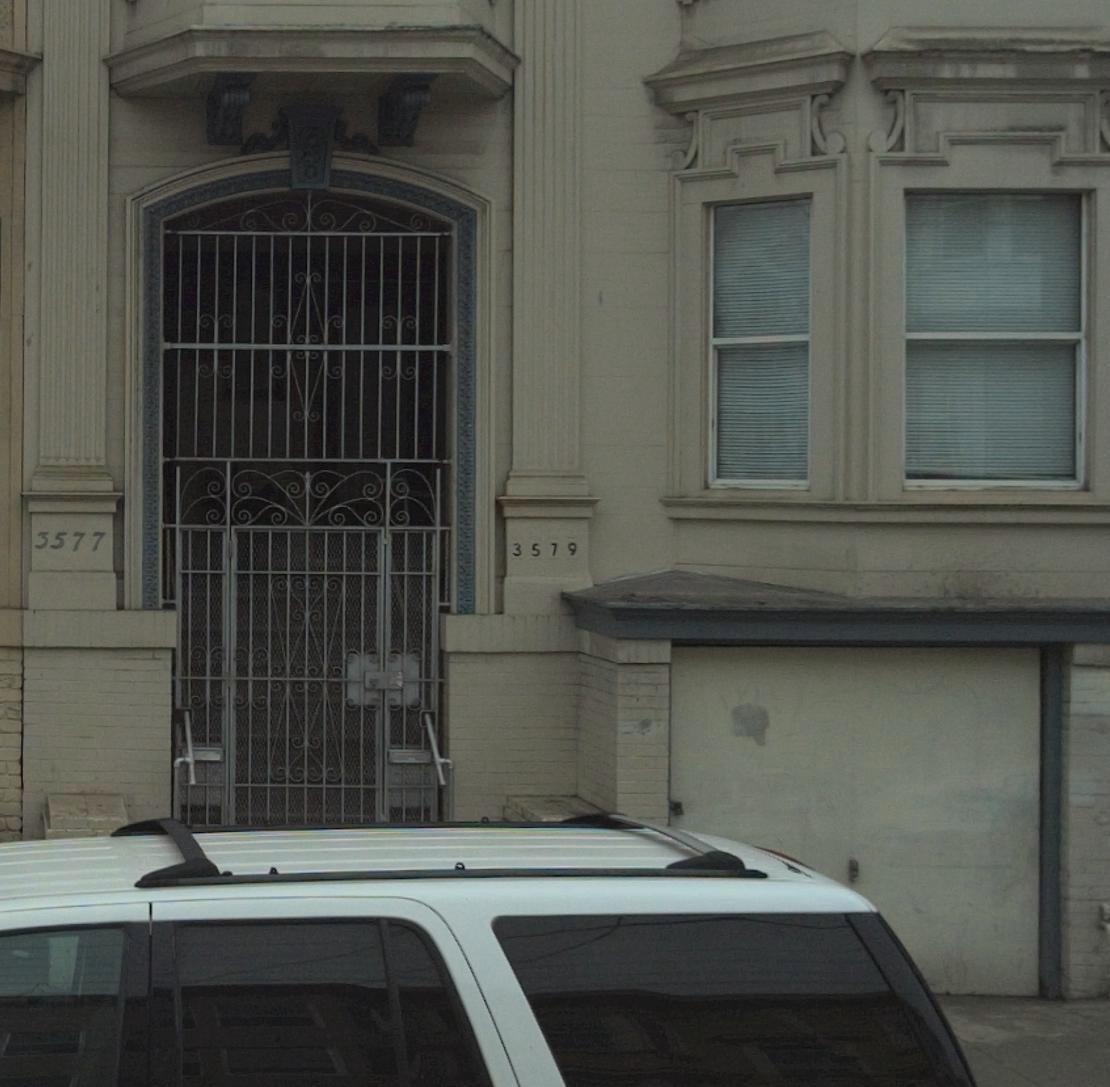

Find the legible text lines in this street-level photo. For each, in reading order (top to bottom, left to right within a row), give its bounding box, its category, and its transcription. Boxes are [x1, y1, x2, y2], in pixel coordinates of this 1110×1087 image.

[33, 530, 107, 552] StreetNumber: 3577
[511, 541, 579, 558] StreetNumber: 3579